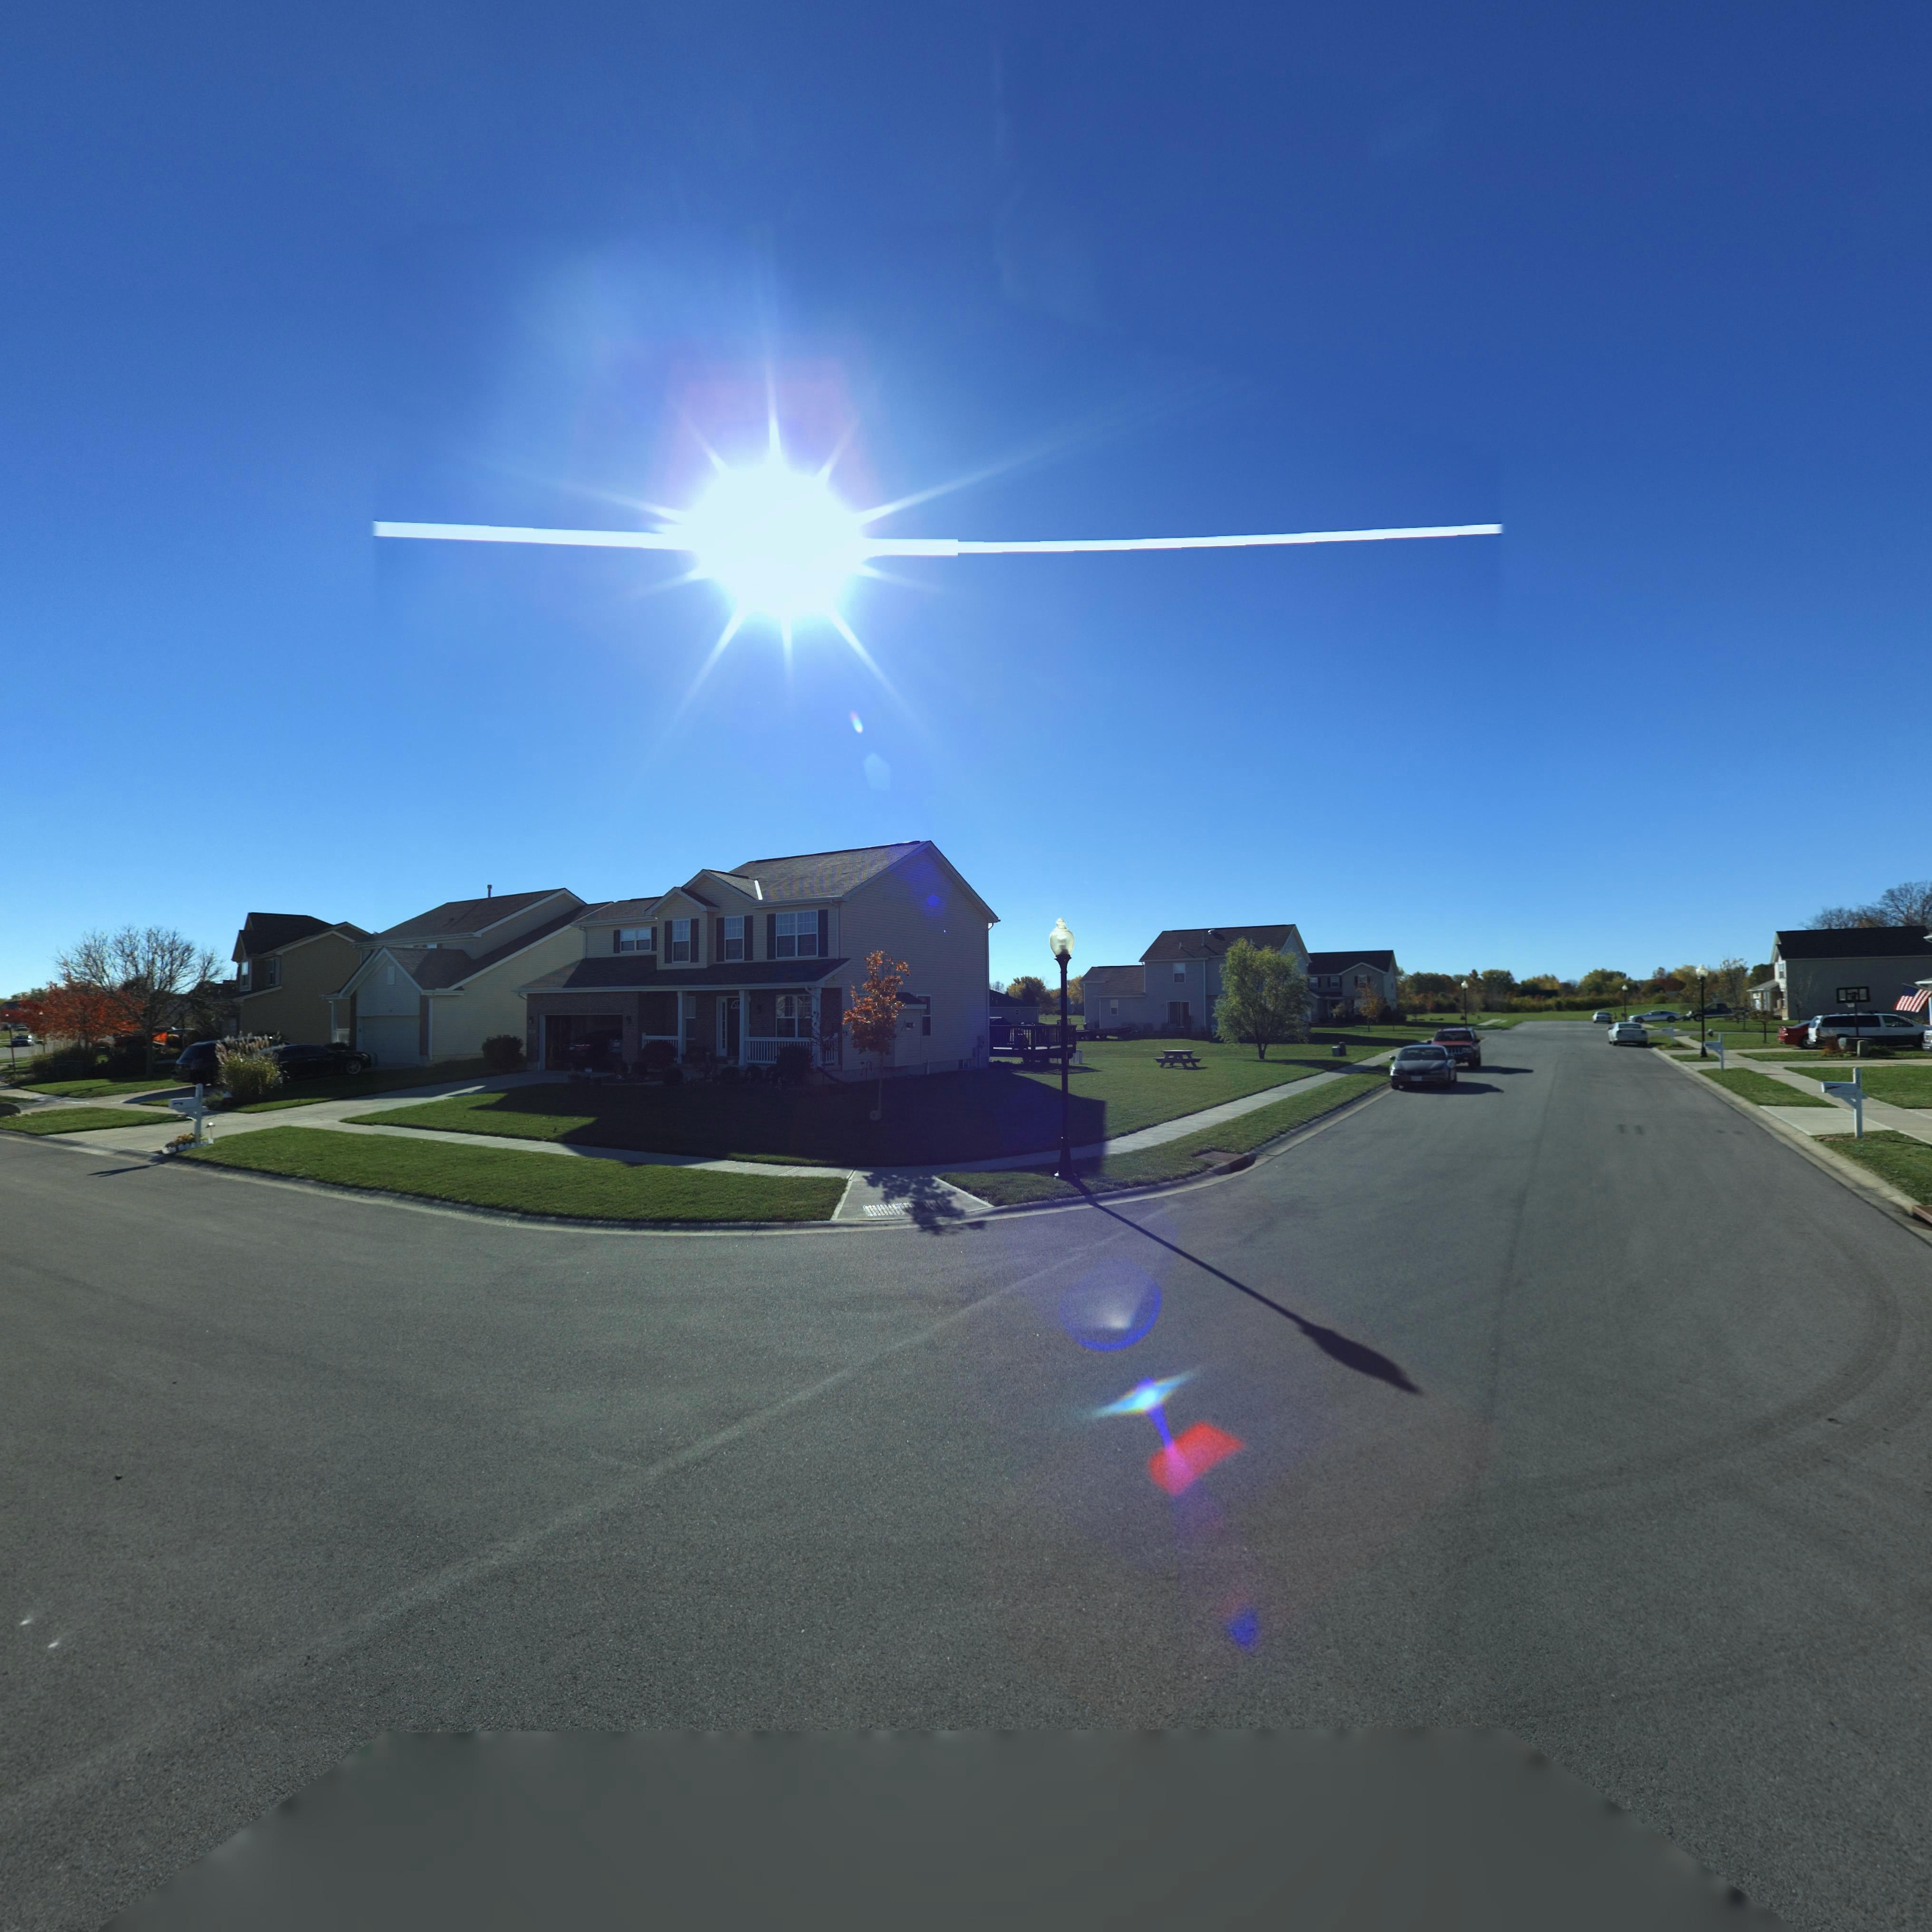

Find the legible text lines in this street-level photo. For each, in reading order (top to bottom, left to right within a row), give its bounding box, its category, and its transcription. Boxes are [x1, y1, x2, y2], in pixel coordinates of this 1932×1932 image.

[1855, 1073, 1861, 1090] StreetNumber: 20*